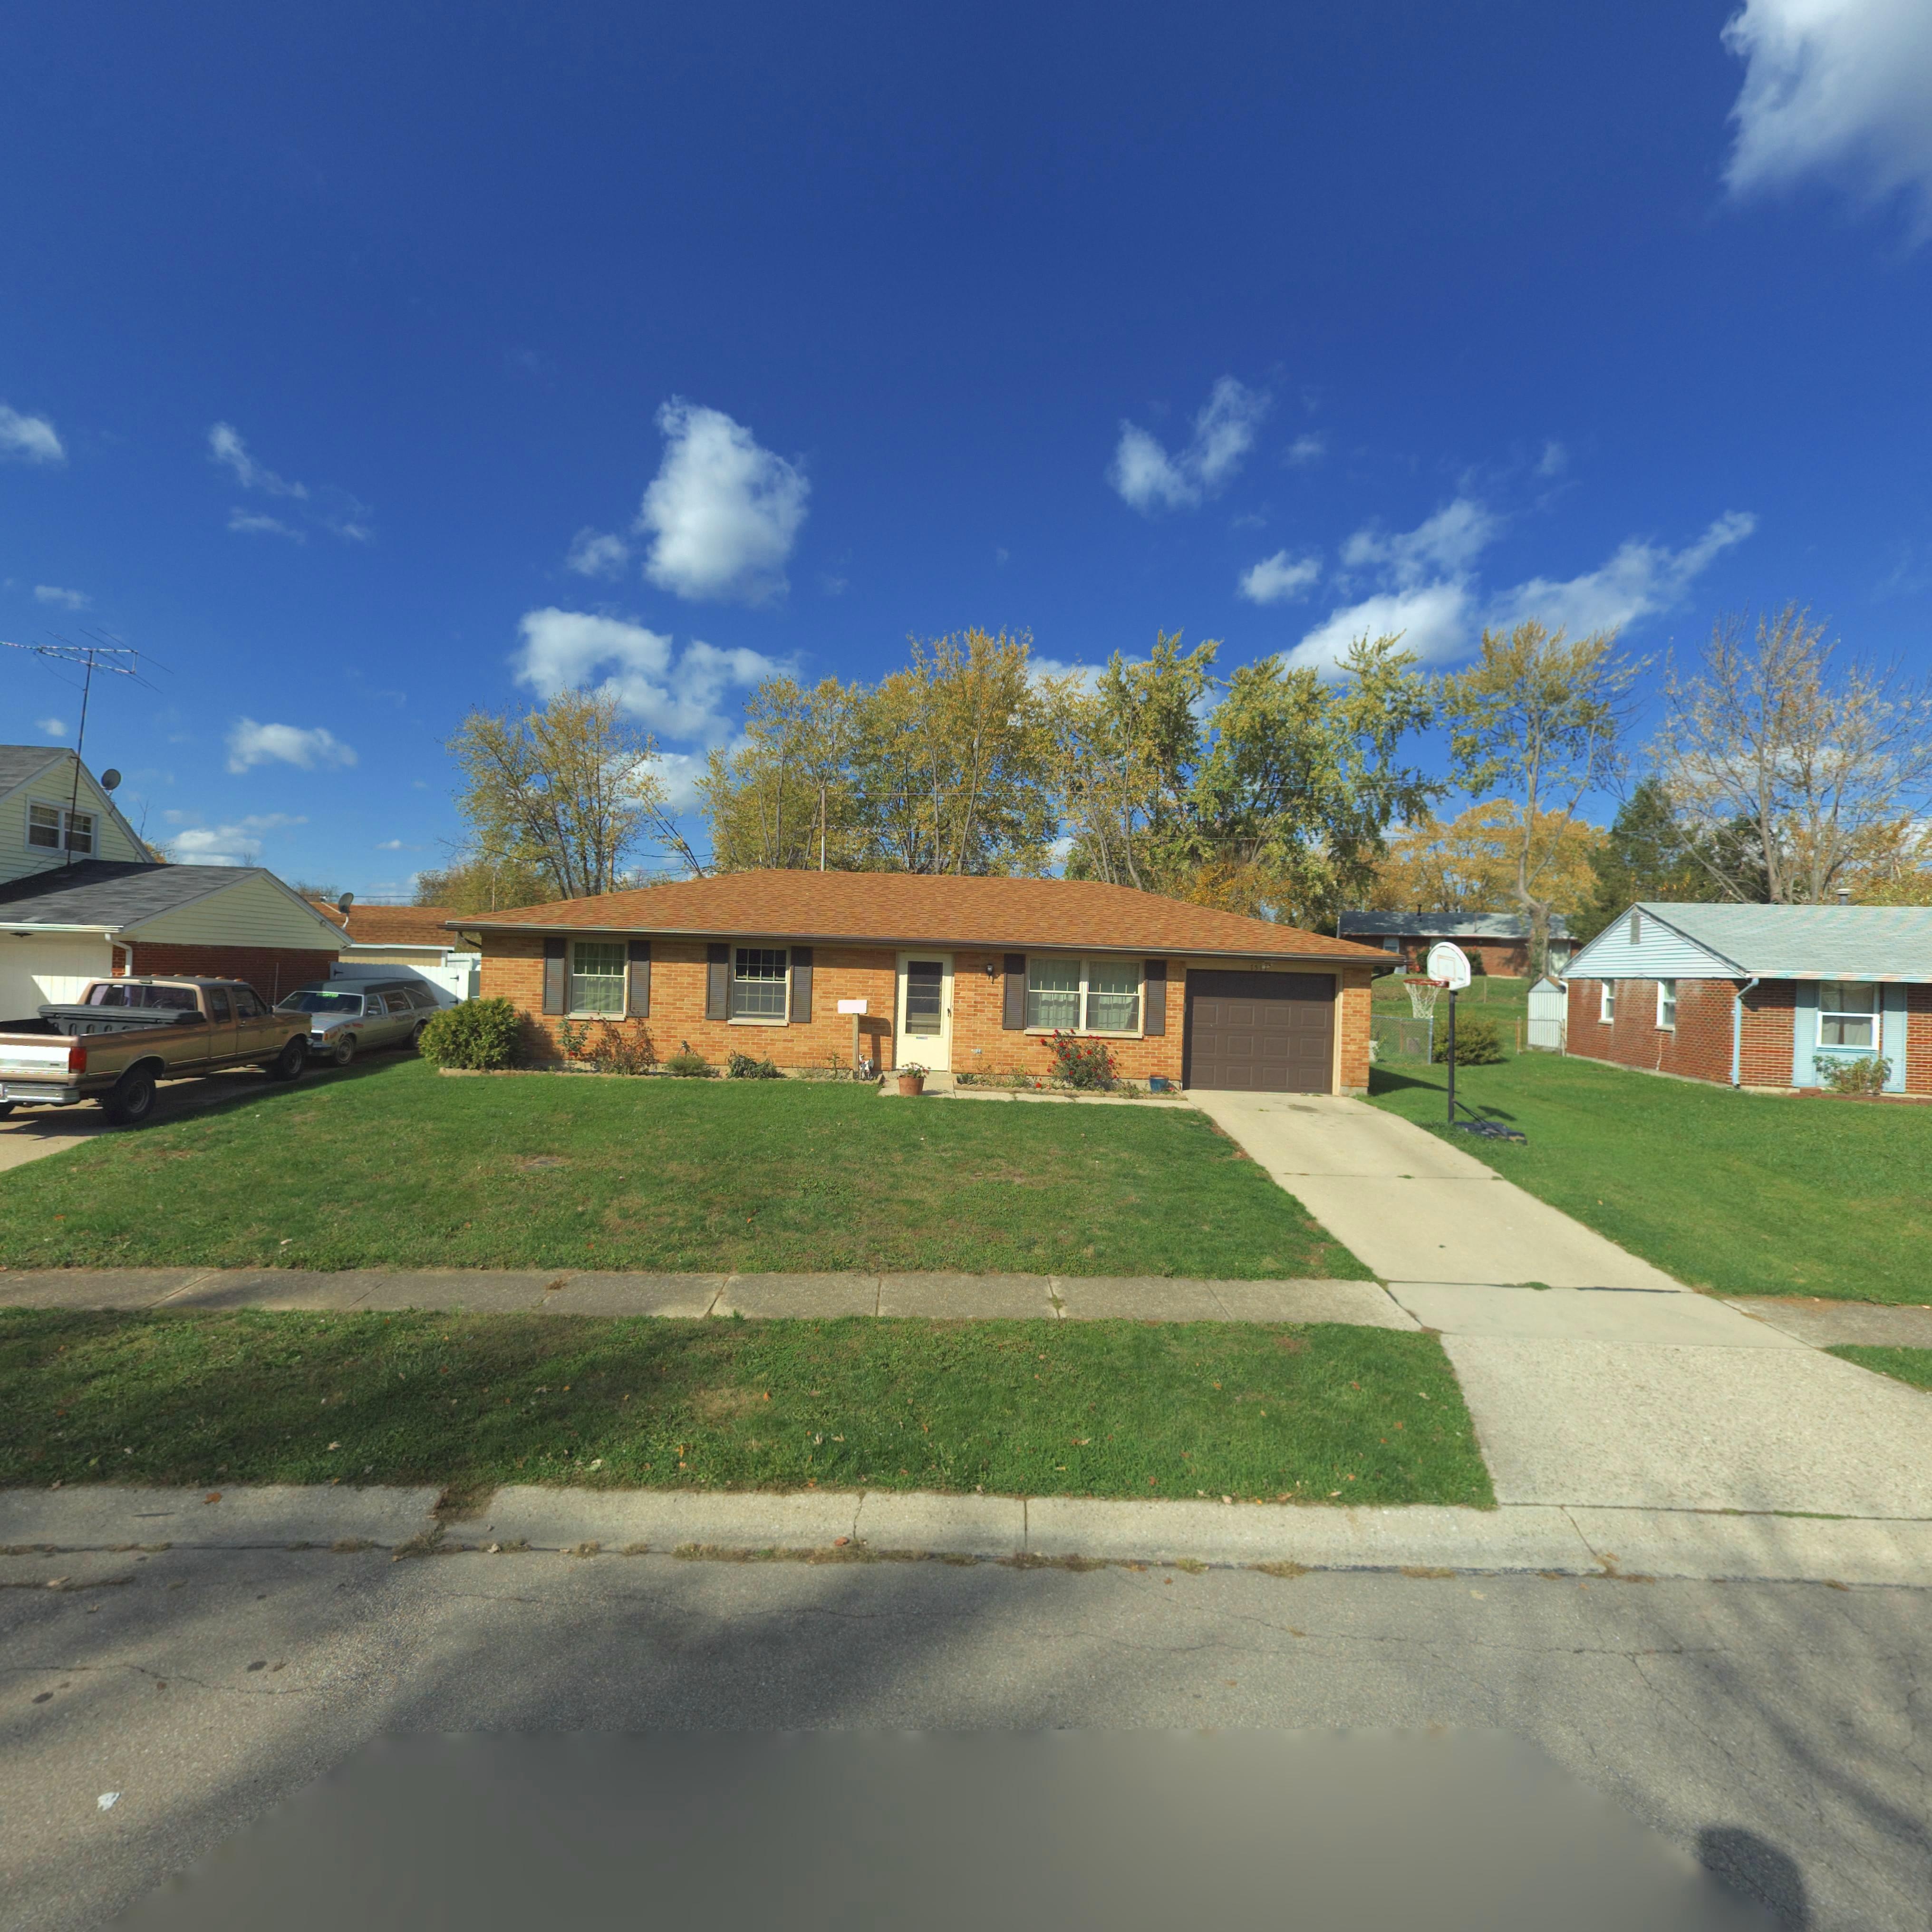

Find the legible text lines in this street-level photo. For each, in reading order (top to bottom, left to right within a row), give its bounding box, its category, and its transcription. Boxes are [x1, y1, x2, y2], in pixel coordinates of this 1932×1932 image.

[1250, 964, 1268, 971] StreetNumber: 751*